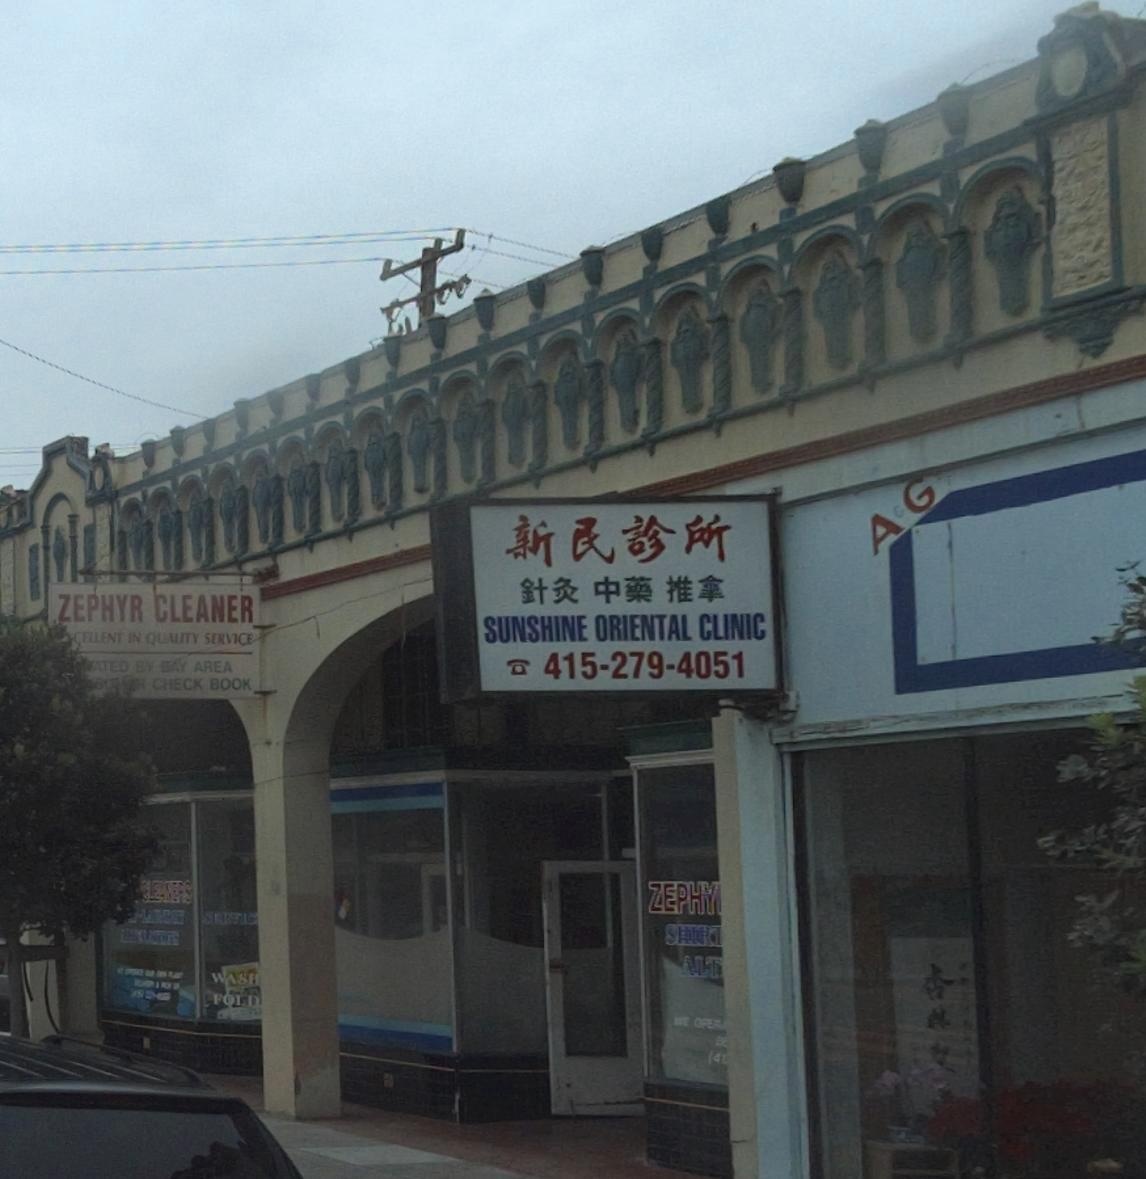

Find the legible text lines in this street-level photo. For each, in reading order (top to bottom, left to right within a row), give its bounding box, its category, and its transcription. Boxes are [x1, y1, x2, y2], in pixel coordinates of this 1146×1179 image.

[869, 472, 938, 560] None: A&G
[56, 591, 255, 626] BusinessName: ZEPHYR CLEANER
[81, 630, 254, 647] None: ELLENT IN QUALITY SERVICE
[481, 610, 768, 646] BusinessName: SUNSHINE ORIENTAL CLINIC
[91, 658, 235, 674] None: ATED BY BAY AREA
[540, 648, 747, 683] None: 415-279-4051
[151, 676, 254, 693] None: CHECK BOOK
[150, 878, 194, 906] None: EANERS
[646, 878, 721, 918] BusinessName: ZEPHY
[662, 922, 716, 948] None: SHIR
[208, 971, 261, 986] None: WASH
[678, 953, 723, 980] None: ALT
[212, 992, 262, 1009] None: FOLD